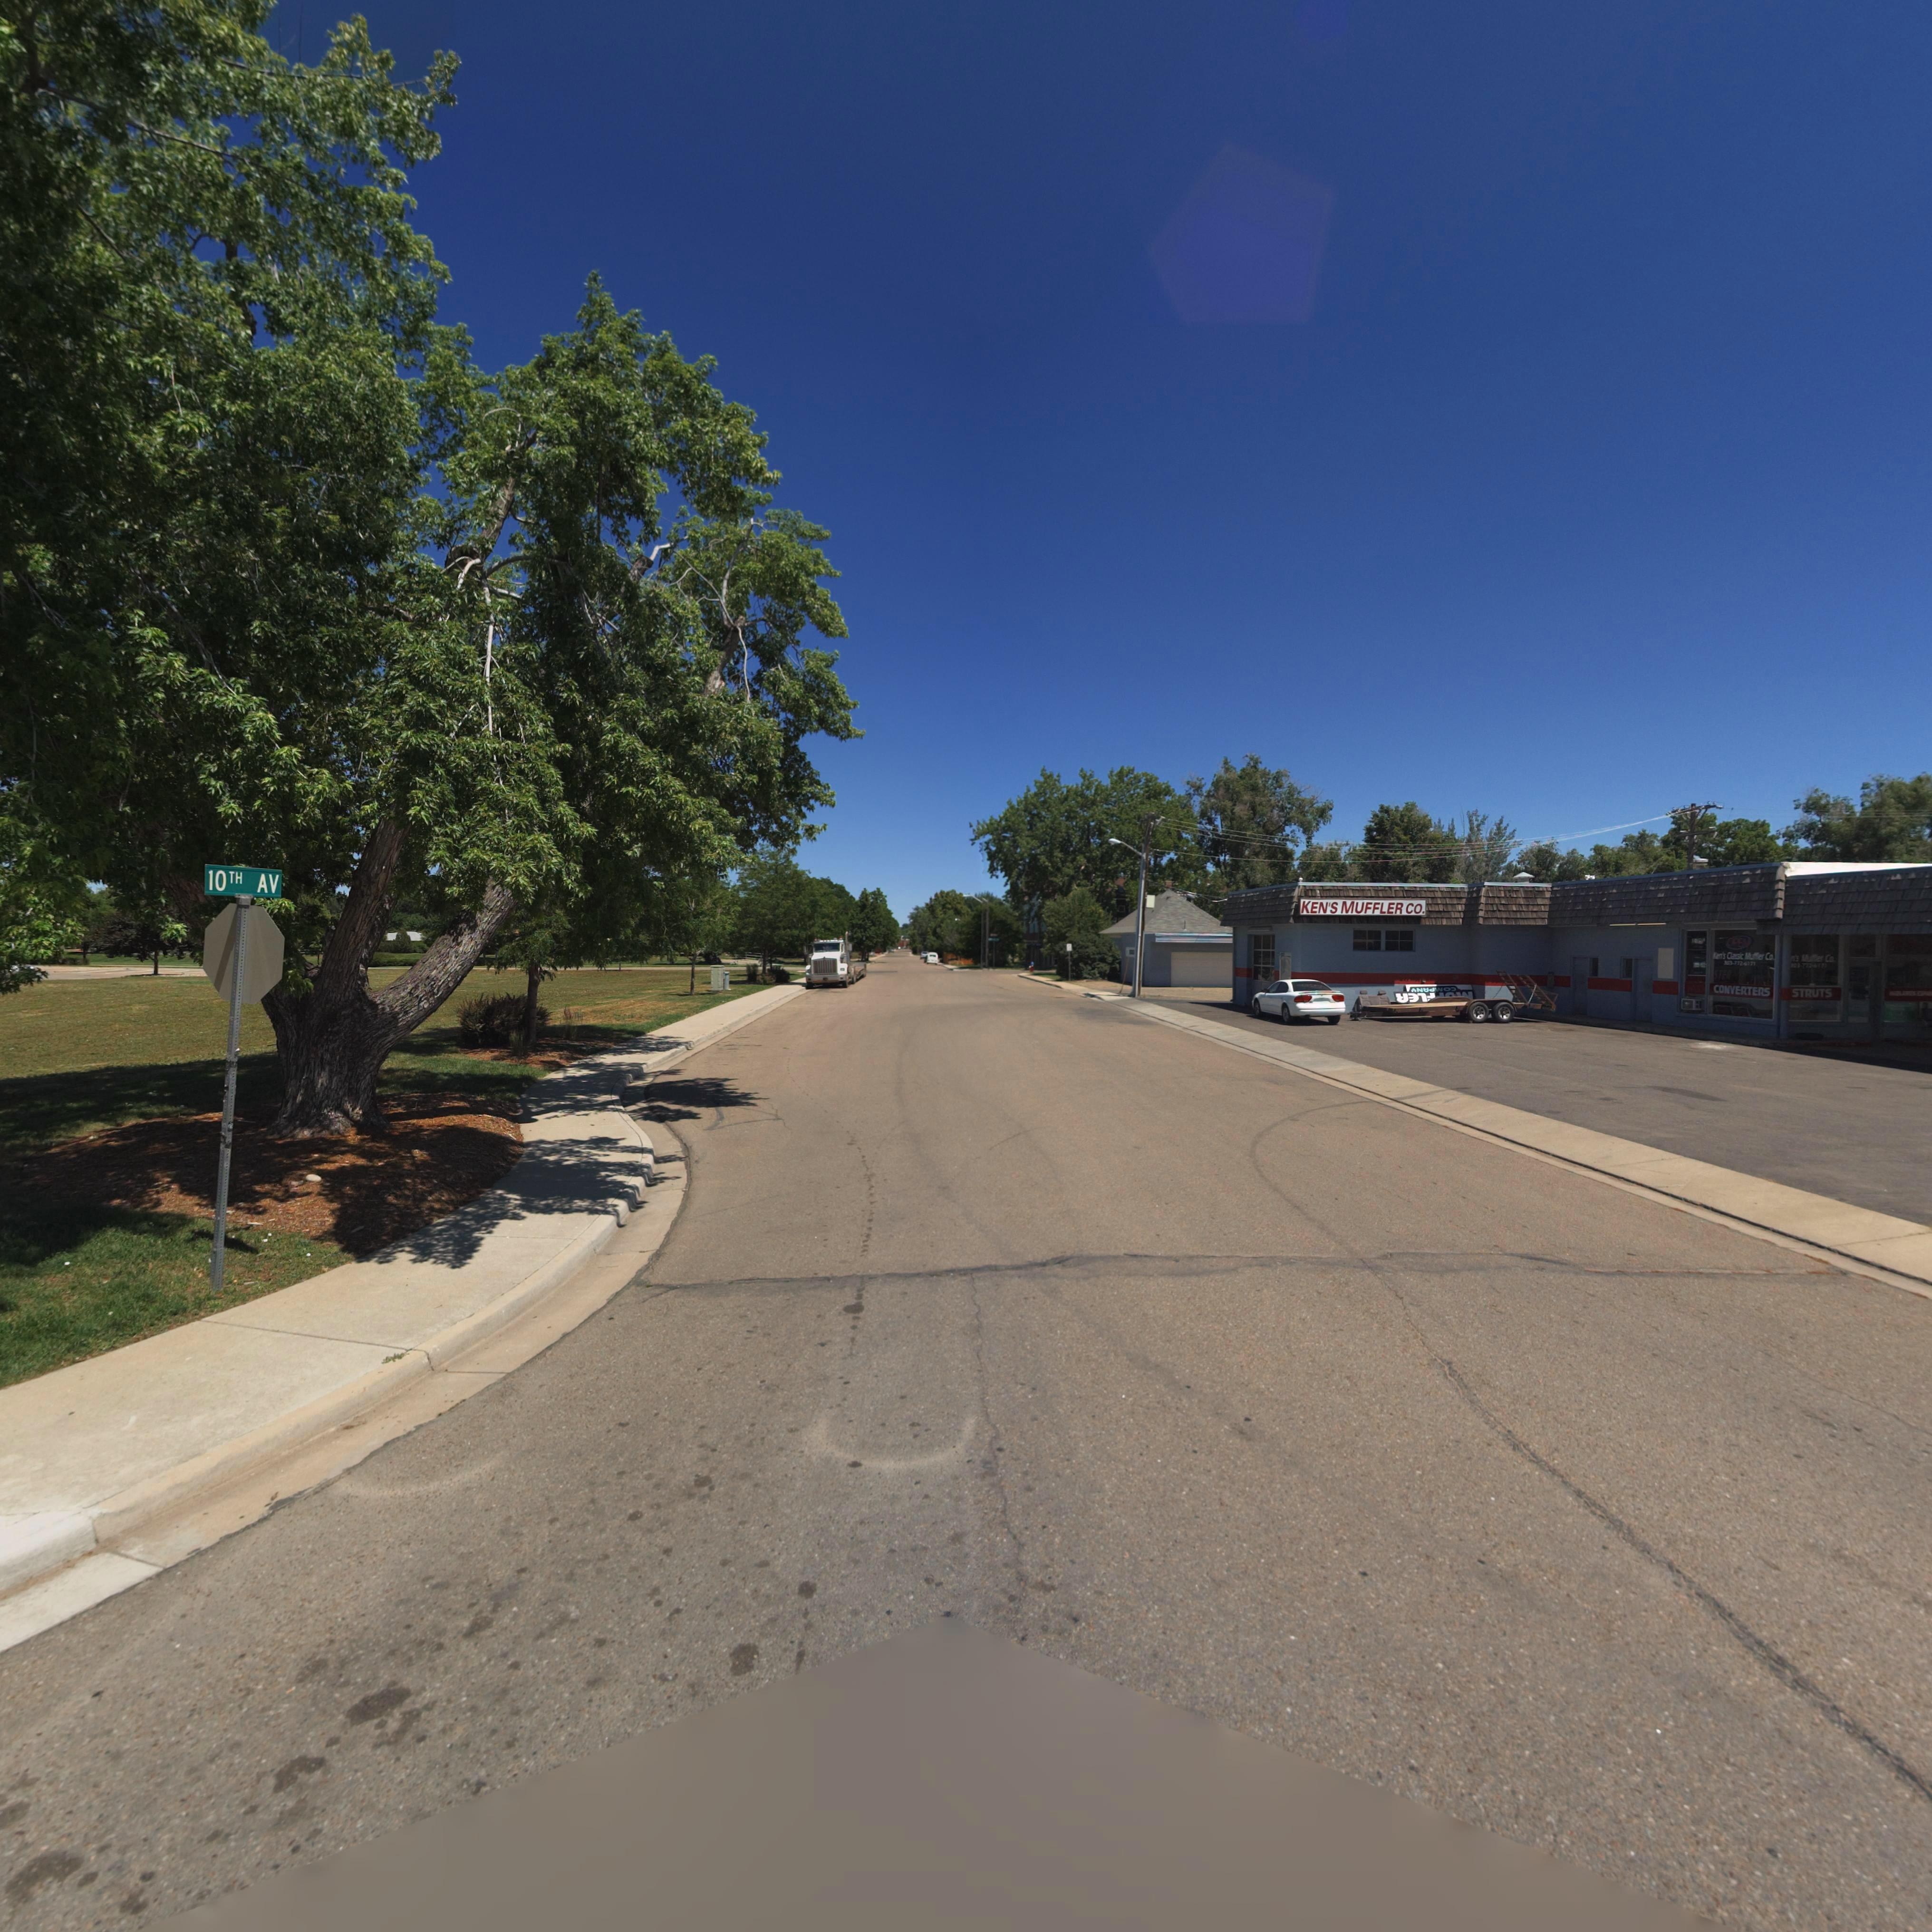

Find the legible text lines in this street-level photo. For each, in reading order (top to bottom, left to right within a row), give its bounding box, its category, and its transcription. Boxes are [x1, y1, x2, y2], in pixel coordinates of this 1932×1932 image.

[207, 869, 280, 894] StreetName: 10TH AV
[1300, 900, 1425, 914] BusinessName: KEN'S MUFFLER CO.
[1800, 954, 1834, 963] BusinessName: Muffler co